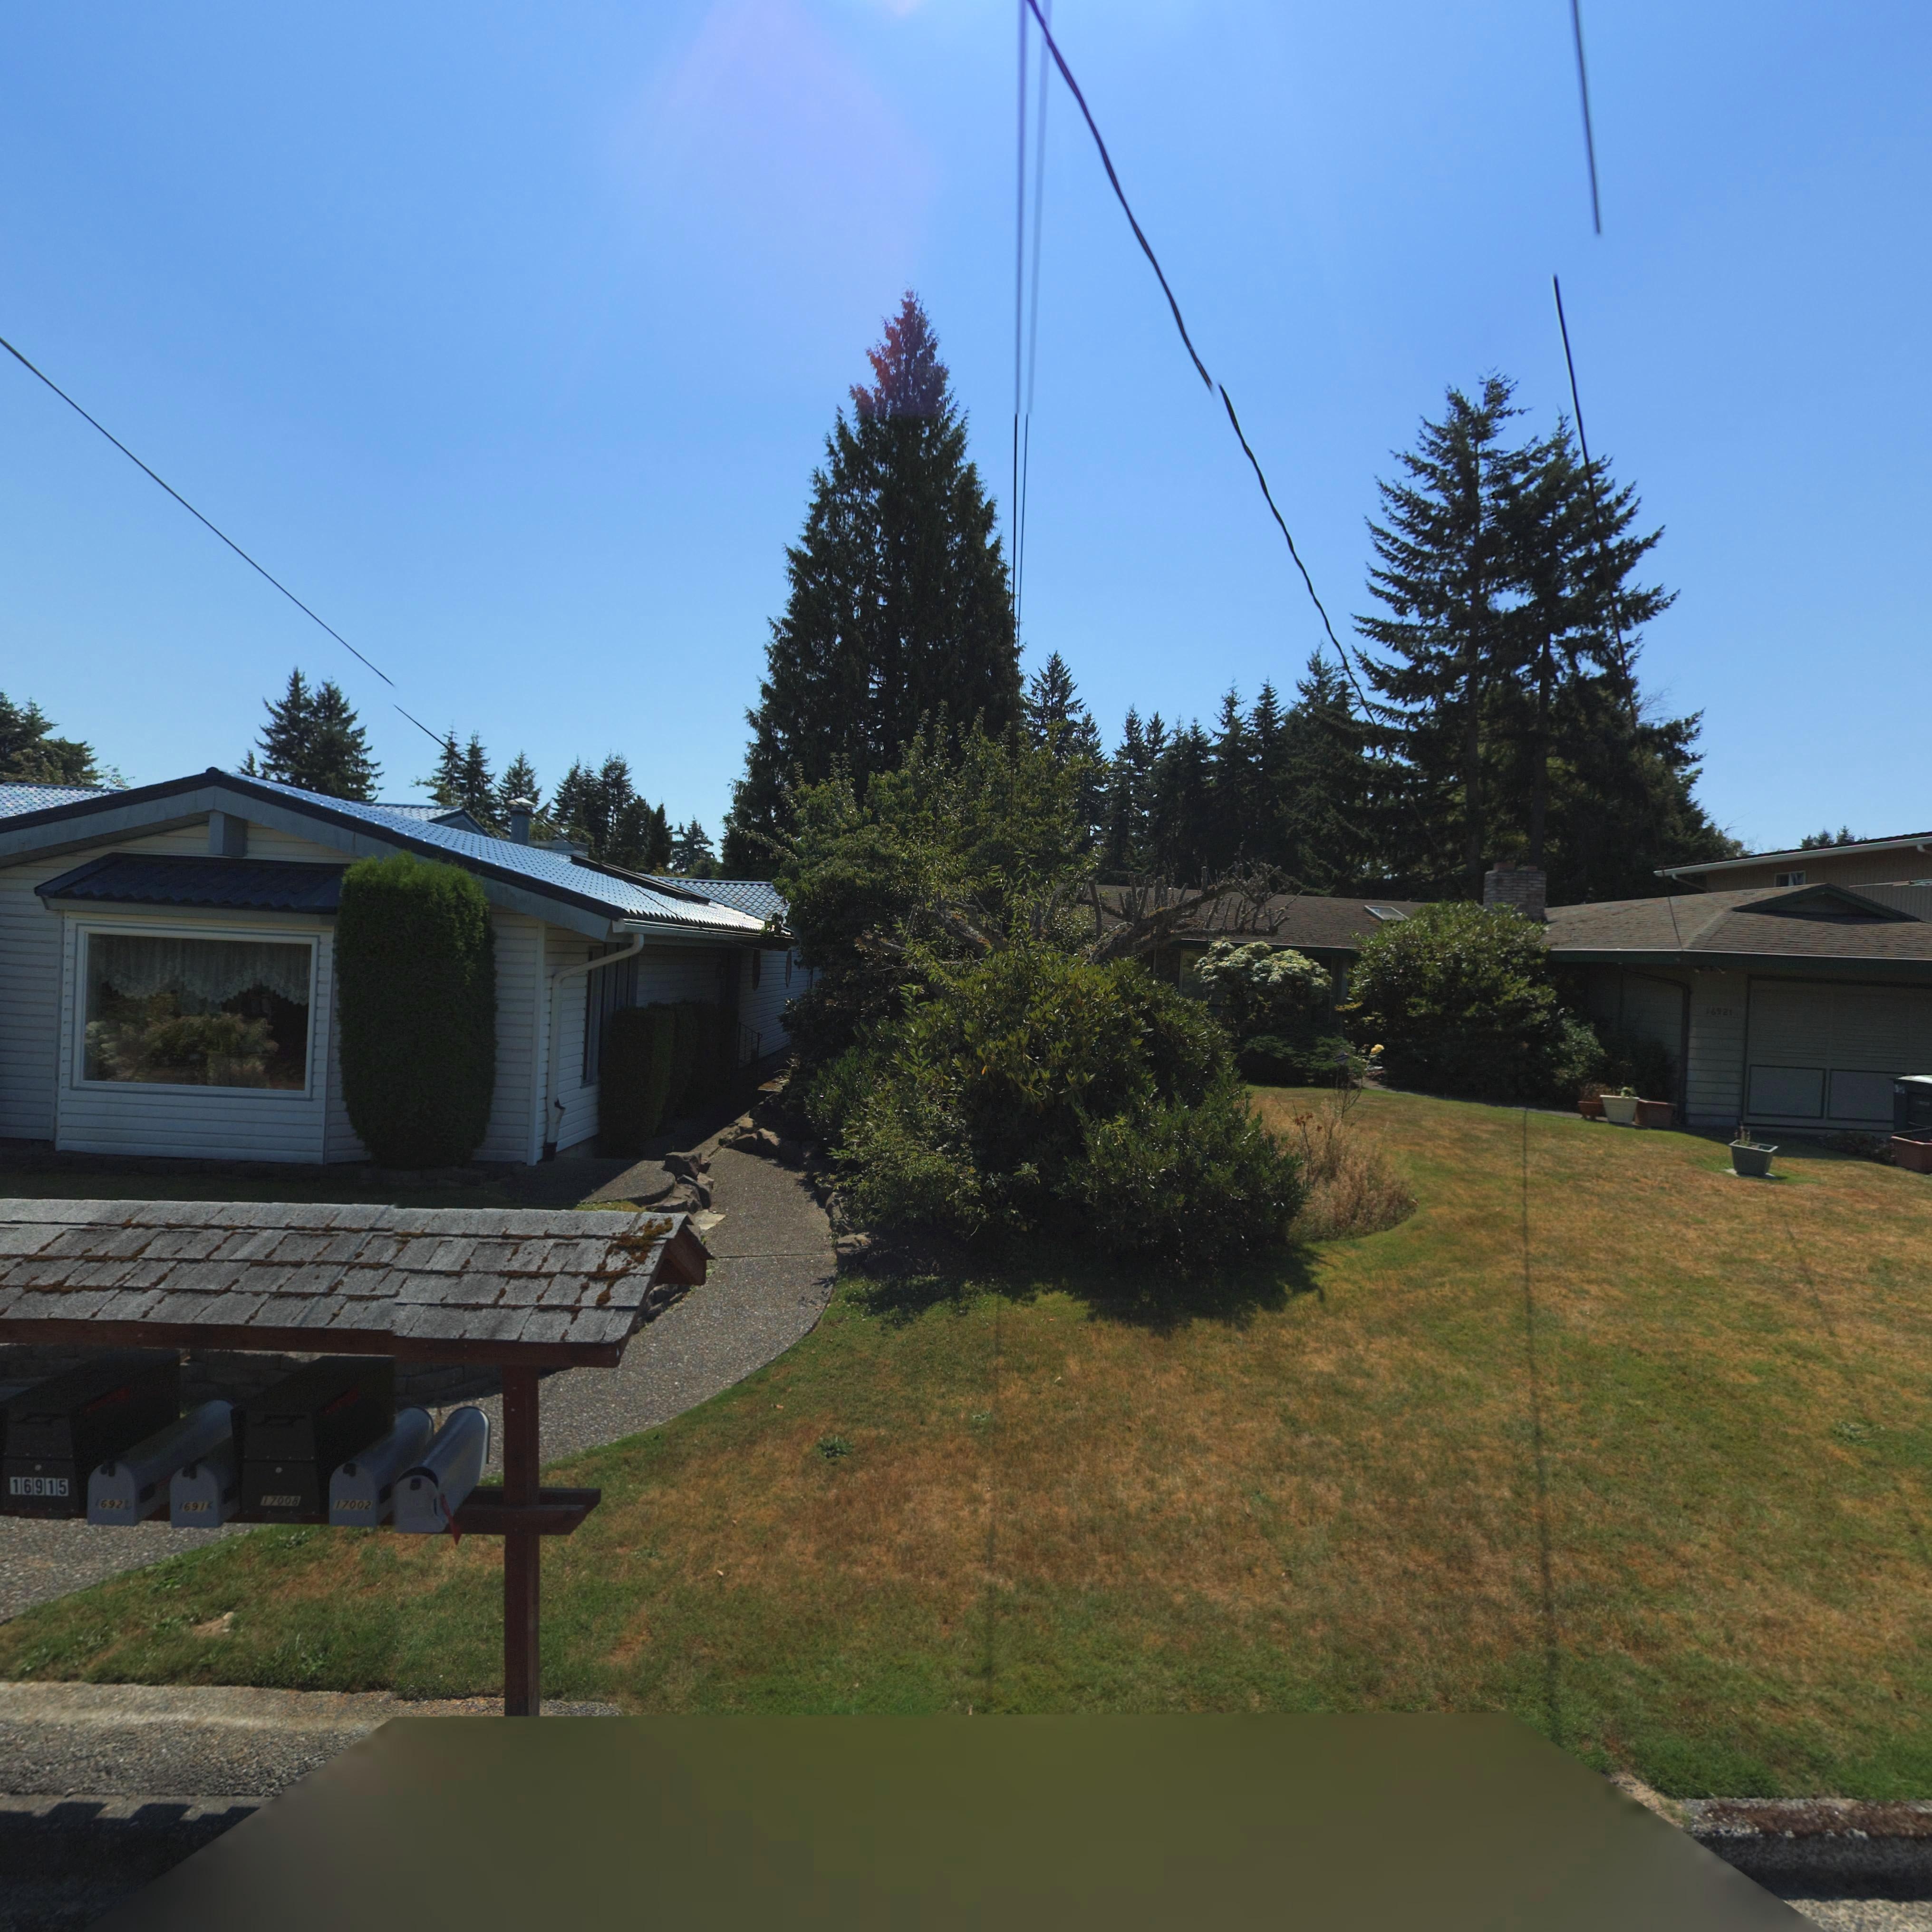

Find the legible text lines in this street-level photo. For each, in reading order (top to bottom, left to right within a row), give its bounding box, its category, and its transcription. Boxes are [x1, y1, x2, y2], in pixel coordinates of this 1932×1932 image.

[10, 1476, 68, 1497] StreetNumber: 16915
[99, 1498, 123, 1510] StreetNumber: 692
[182, 1501, 207, 1511] StreetNumber: 691
[261, 1495, 302, 1507] StreetNumber: 17008
[333, 1499, 374, 1511] StreetNumber: 17002